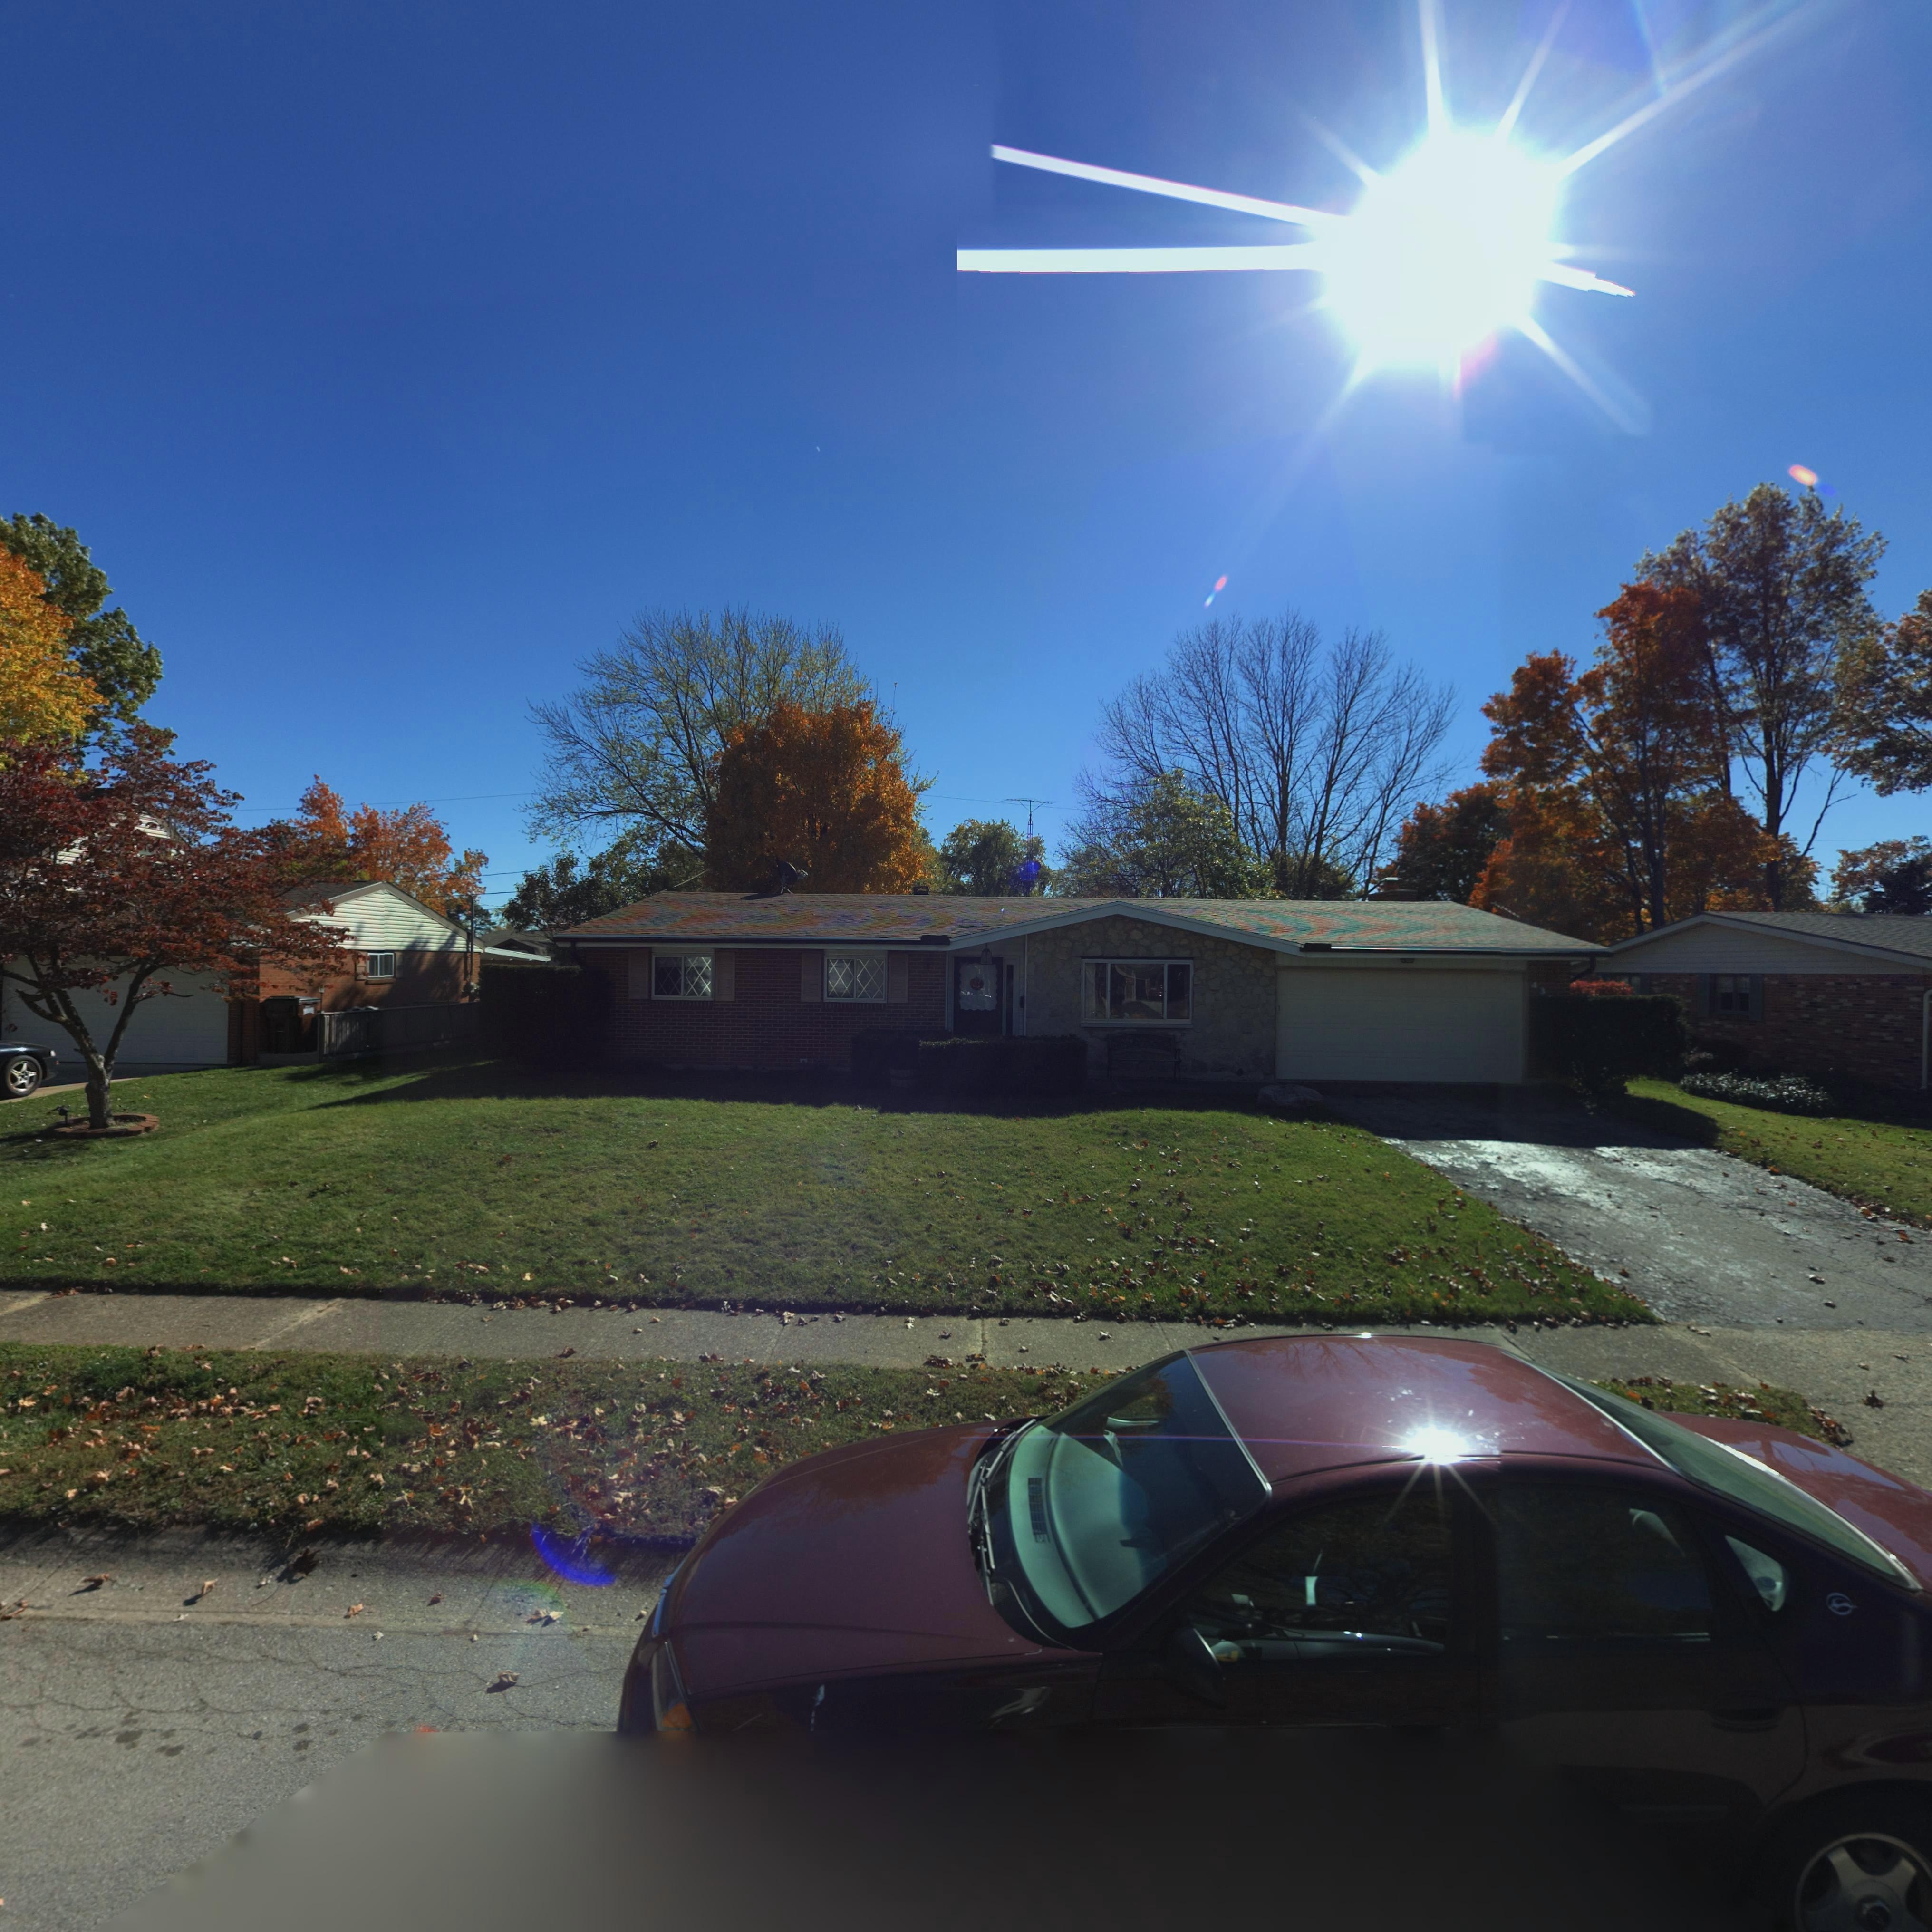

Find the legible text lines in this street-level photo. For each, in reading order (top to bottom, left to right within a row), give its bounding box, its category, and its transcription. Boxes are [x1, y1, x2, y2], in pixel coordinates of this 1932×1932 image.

[1530, 980, 1548, 996] StreetNumber: 43